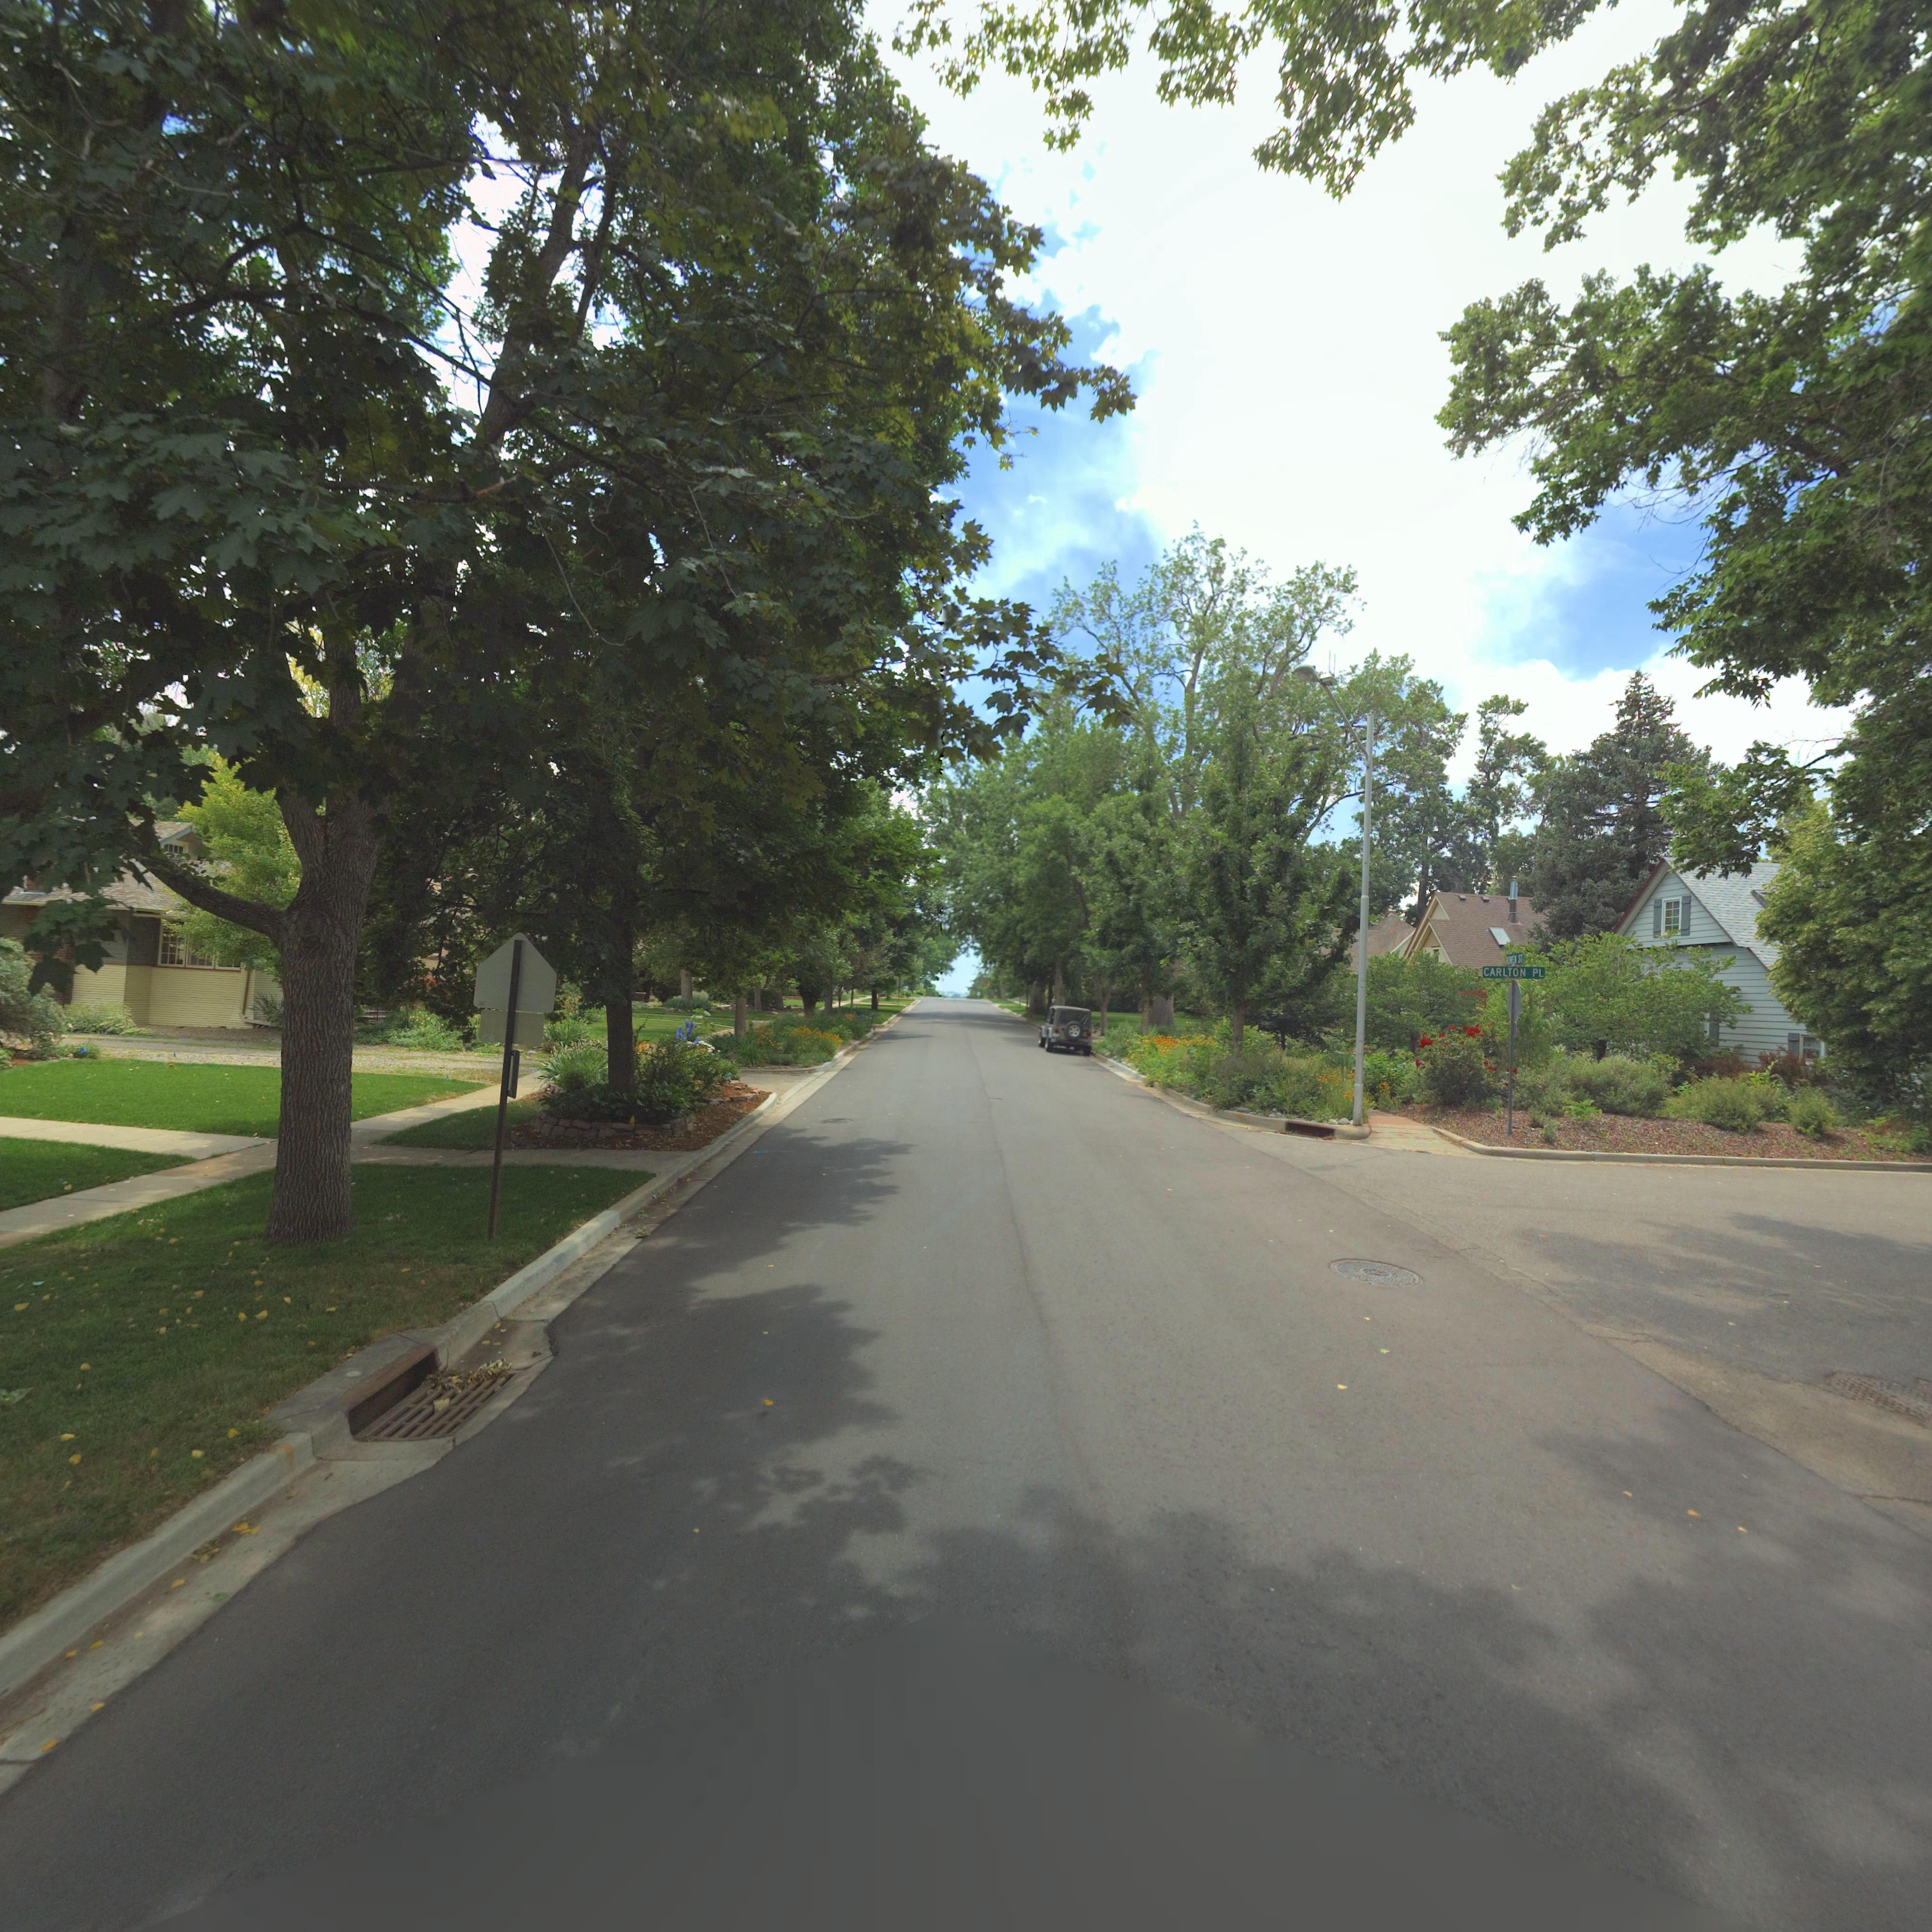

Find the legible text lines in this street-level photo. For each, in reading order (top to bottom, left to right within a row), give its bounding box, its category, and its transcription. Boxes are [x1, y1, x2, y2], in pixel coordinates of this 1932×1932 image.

[1506, 954, 1523, 965] StreetName: BOWEN ST
[1483, 967, 1545, 978] StreetName: CARLTON PL